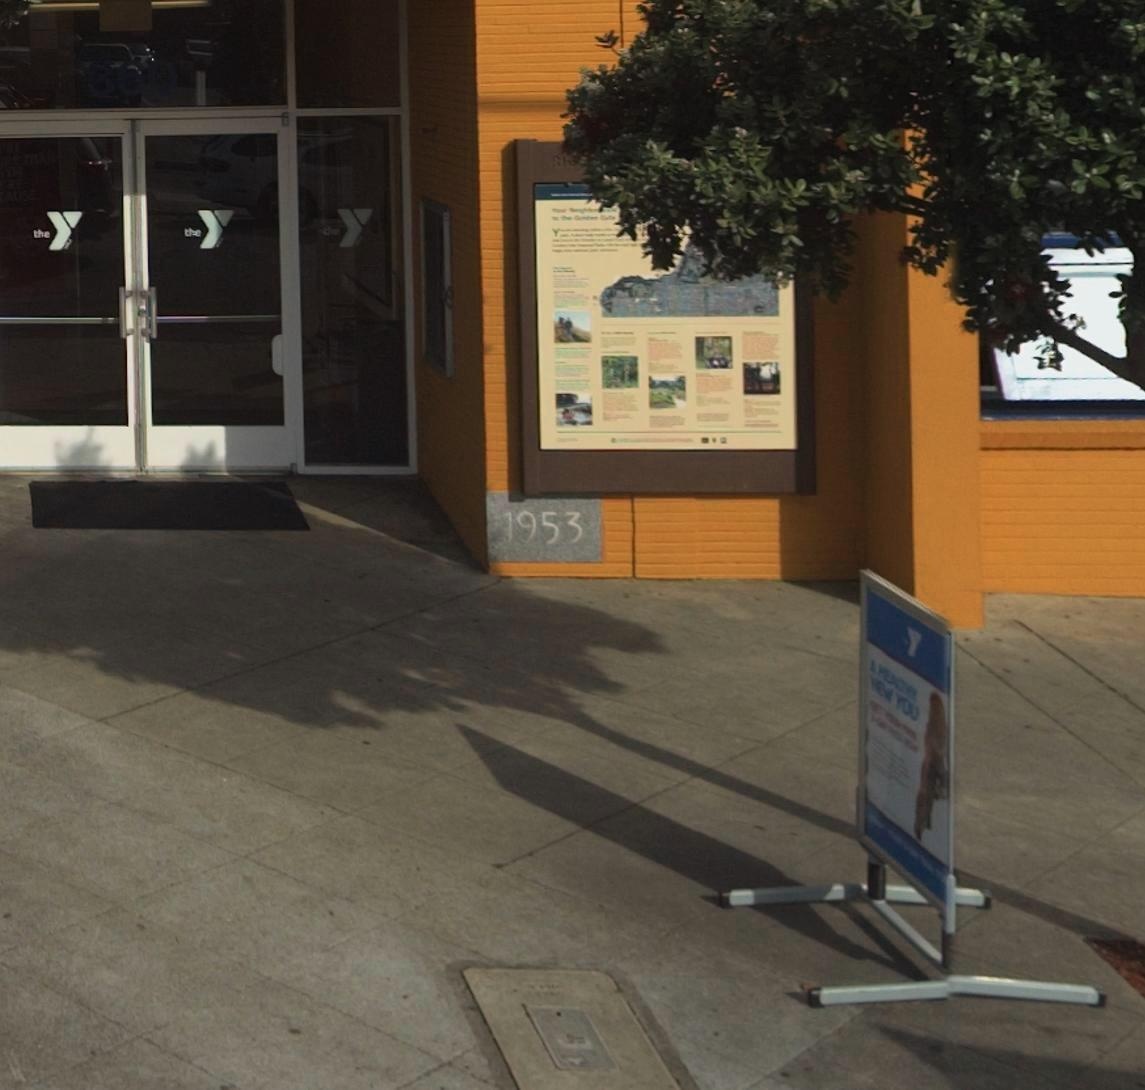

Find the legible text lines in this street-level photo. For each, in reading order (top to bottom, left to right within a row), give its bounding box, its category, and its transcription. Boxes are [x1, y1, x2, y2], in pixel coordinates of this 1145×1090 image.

[32, 227, 51, 239] BusinessName: the
[183, 226, 203, 238] BusinessName: the
[500, 509, 583, 547] None: 1953
[895, 691, 920, 723] None: YOU